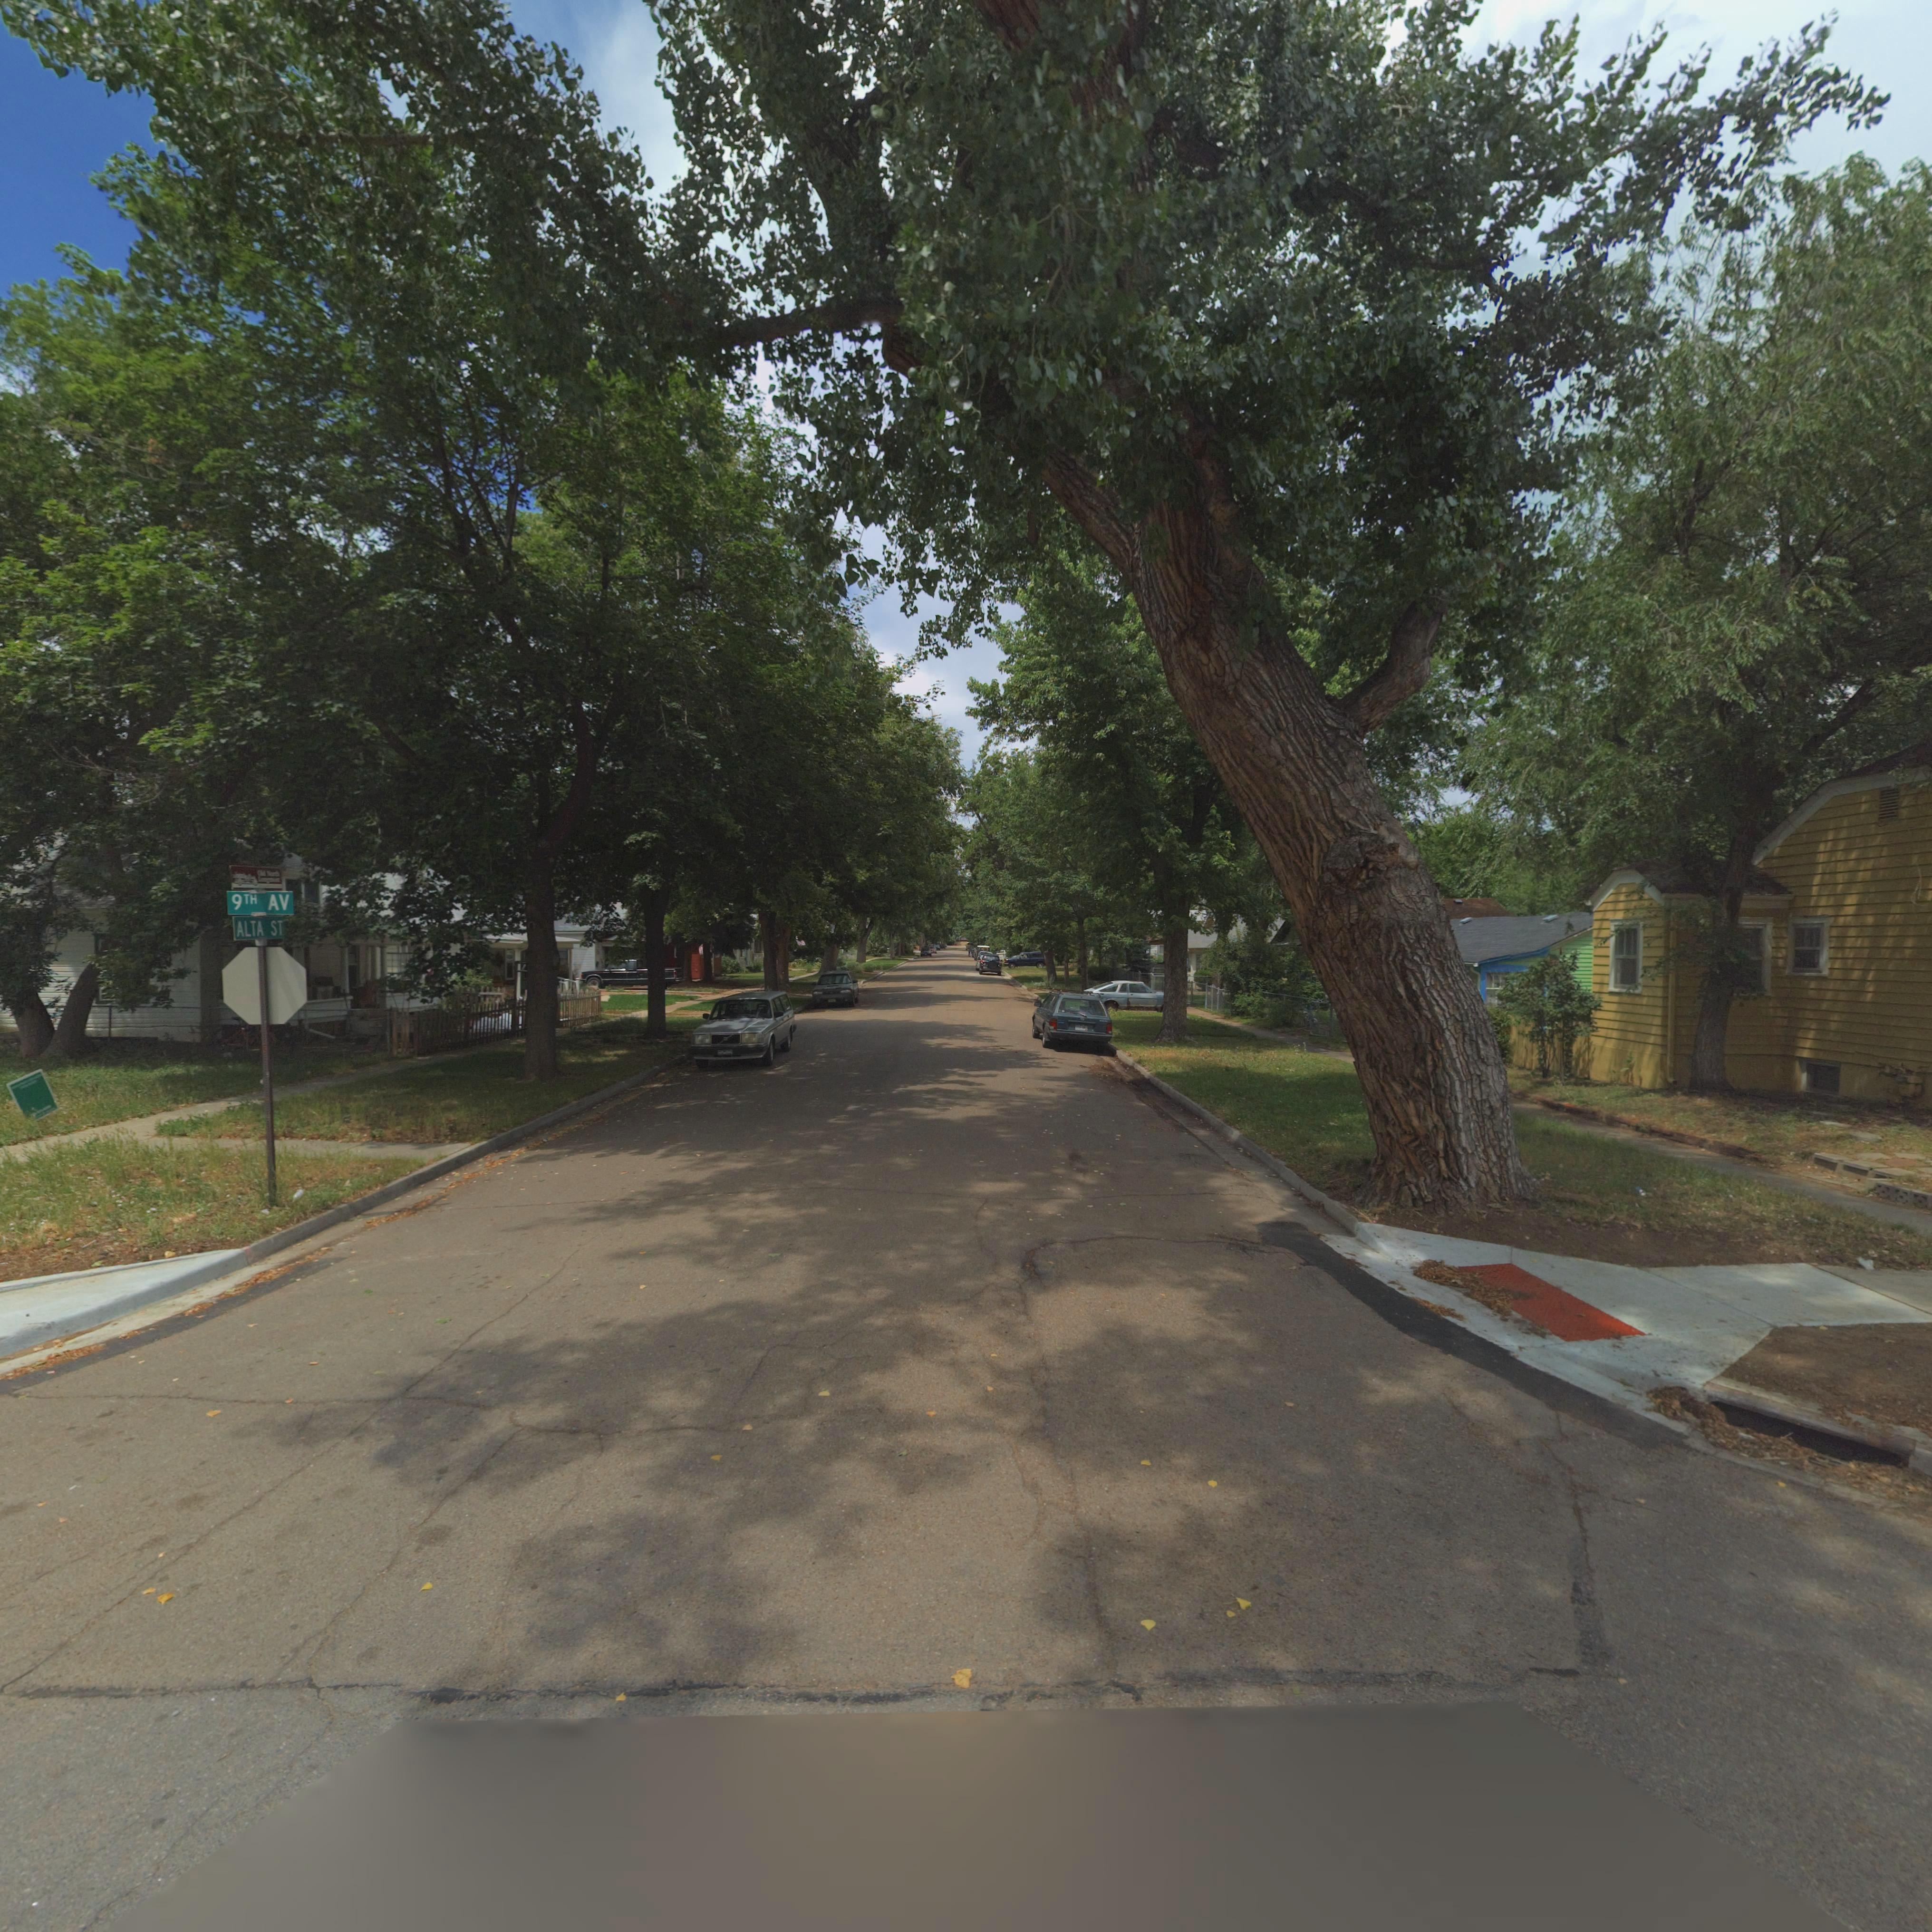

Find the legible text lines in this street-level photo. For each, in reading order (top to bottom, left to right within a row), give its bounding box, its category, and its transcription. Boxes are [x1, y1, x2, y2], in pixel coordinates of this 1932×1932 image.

[231, 893, 290, 910] StreetName: 9TH AV
[236, 920, 283, 937] StreetName: ALTA ST